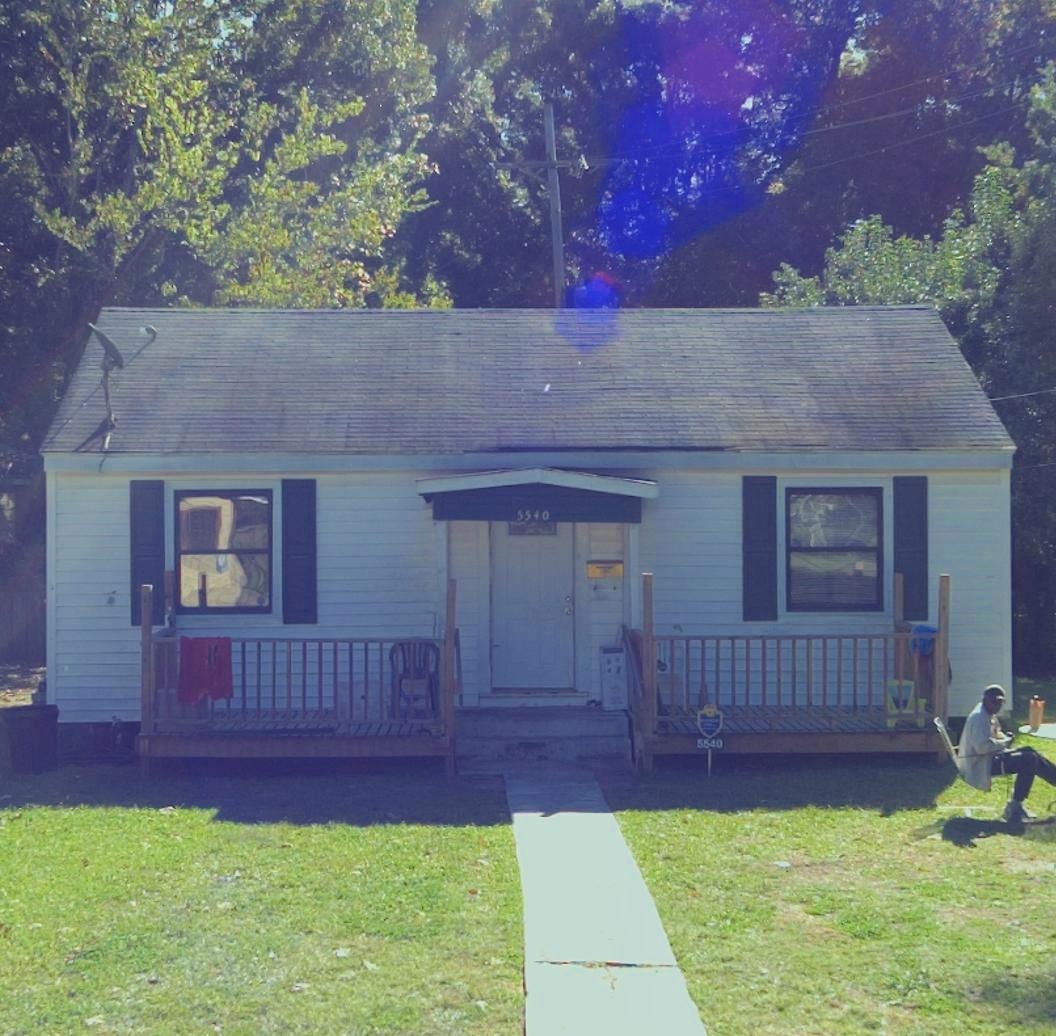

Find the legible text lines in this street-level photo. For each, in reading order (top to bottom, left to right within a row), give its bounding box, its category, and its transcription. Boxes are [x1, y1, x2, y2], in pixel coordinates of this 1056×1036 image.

[515, 507, 552, 523] StreetNumber: 5540
[695, 737, 725, 751] StreetNumber: 5540